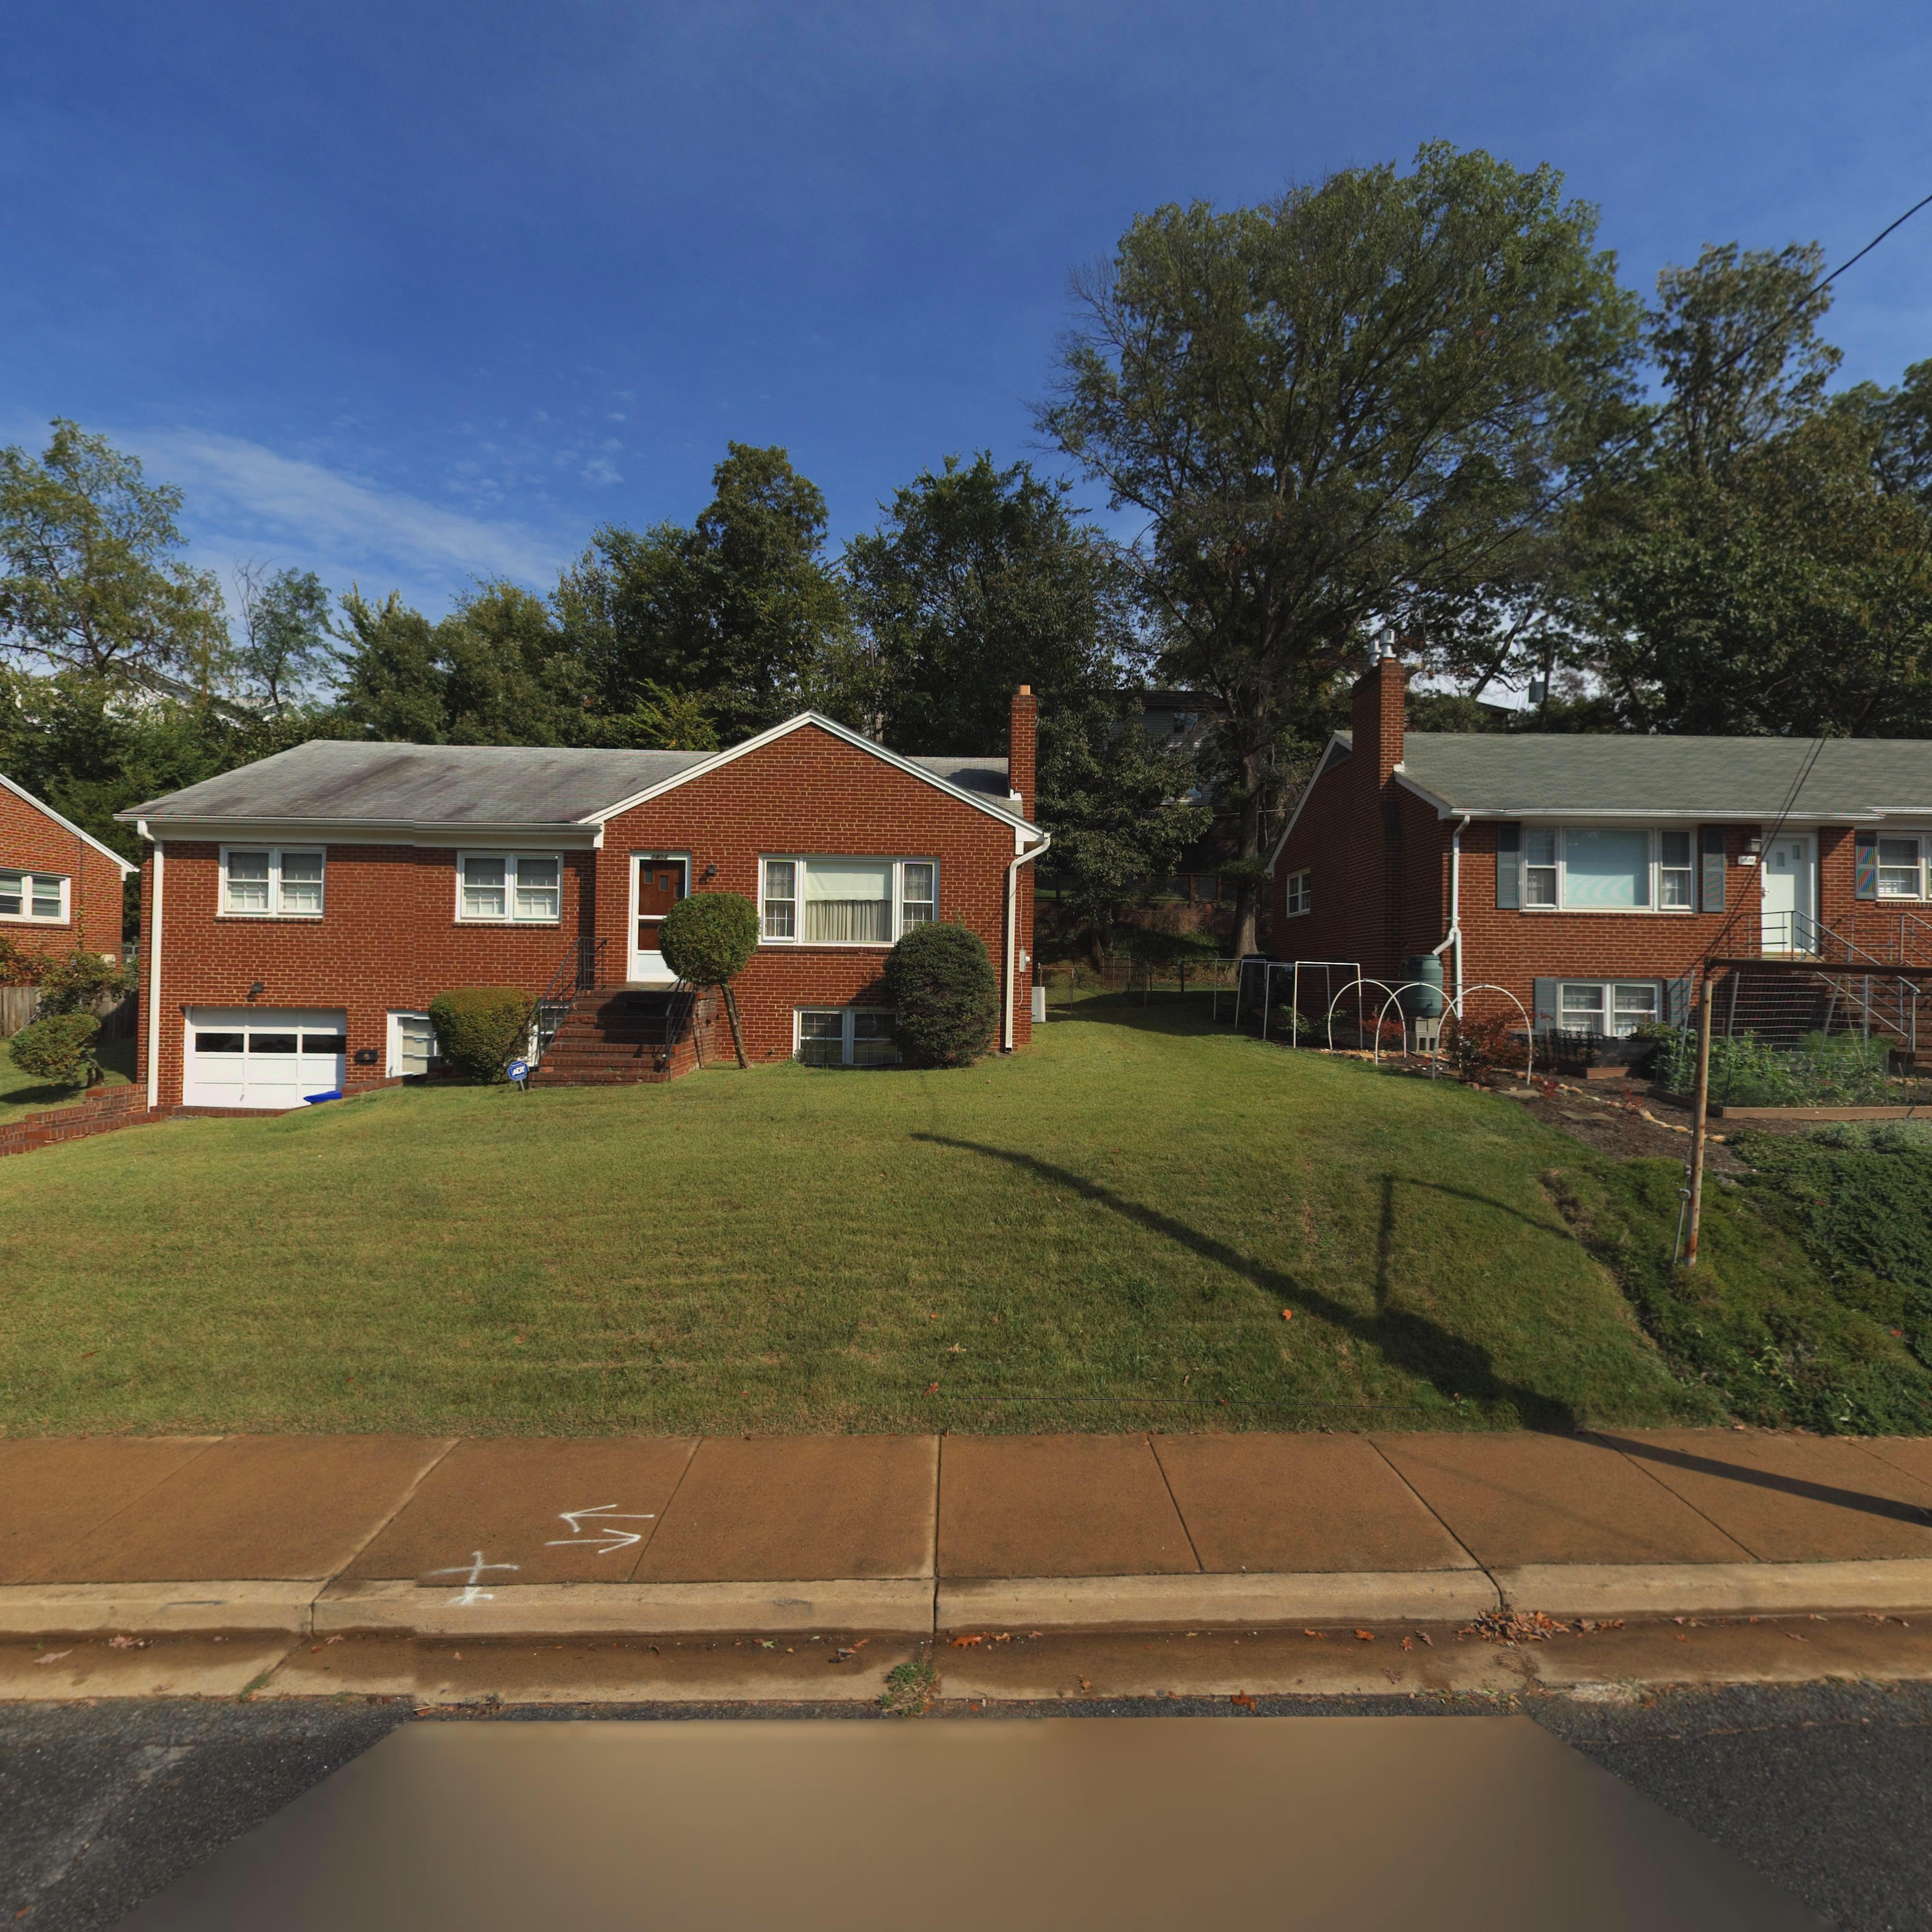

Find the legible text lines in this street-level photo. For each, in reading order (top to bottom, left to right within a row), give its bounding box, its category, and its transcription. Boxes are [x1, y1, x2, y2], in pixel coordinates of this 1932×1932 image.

[650, 854, 669, 860] StreetNumber: 1401
[512, 1065, 526, 1077] None: ADT